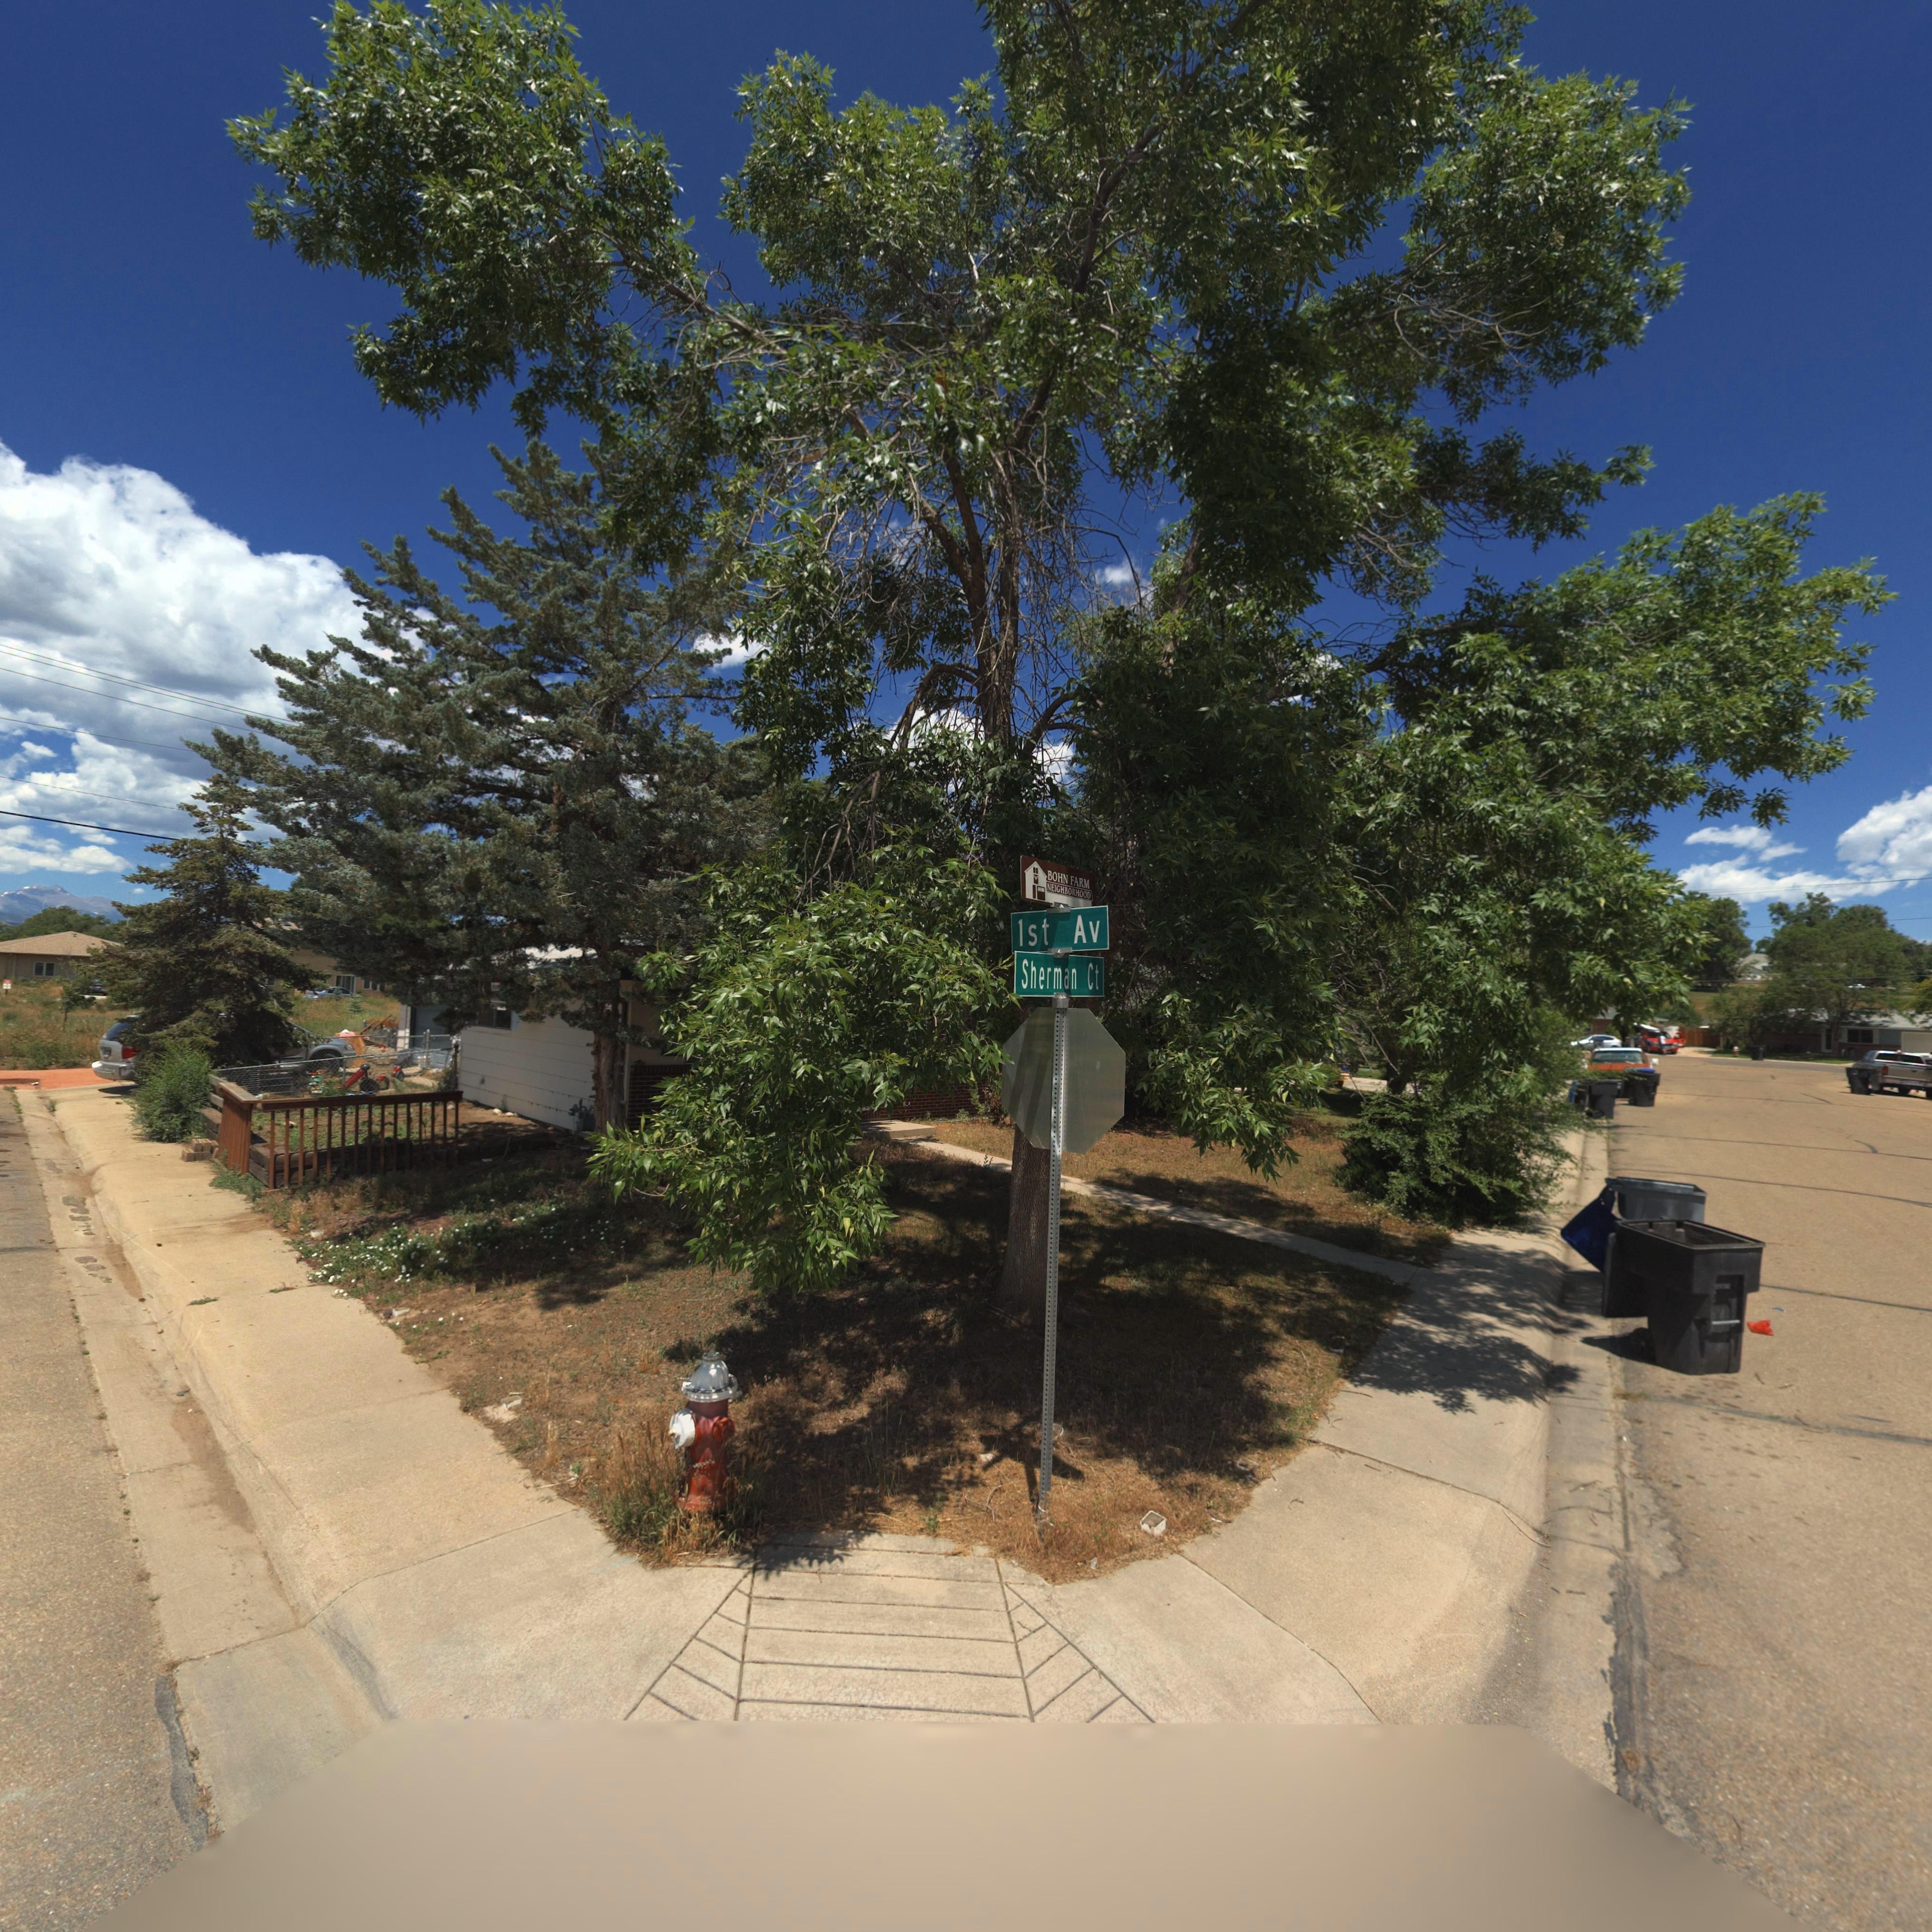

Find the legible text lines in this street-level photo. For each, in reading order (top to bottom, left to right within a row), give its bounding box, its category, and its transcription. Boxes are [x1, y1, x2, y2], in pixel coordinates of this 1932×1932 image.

[1017, 914, 1101, 947] StreetName: 1st Av
[1021, 958, 1100, 991] StreetName: Sherman Ct